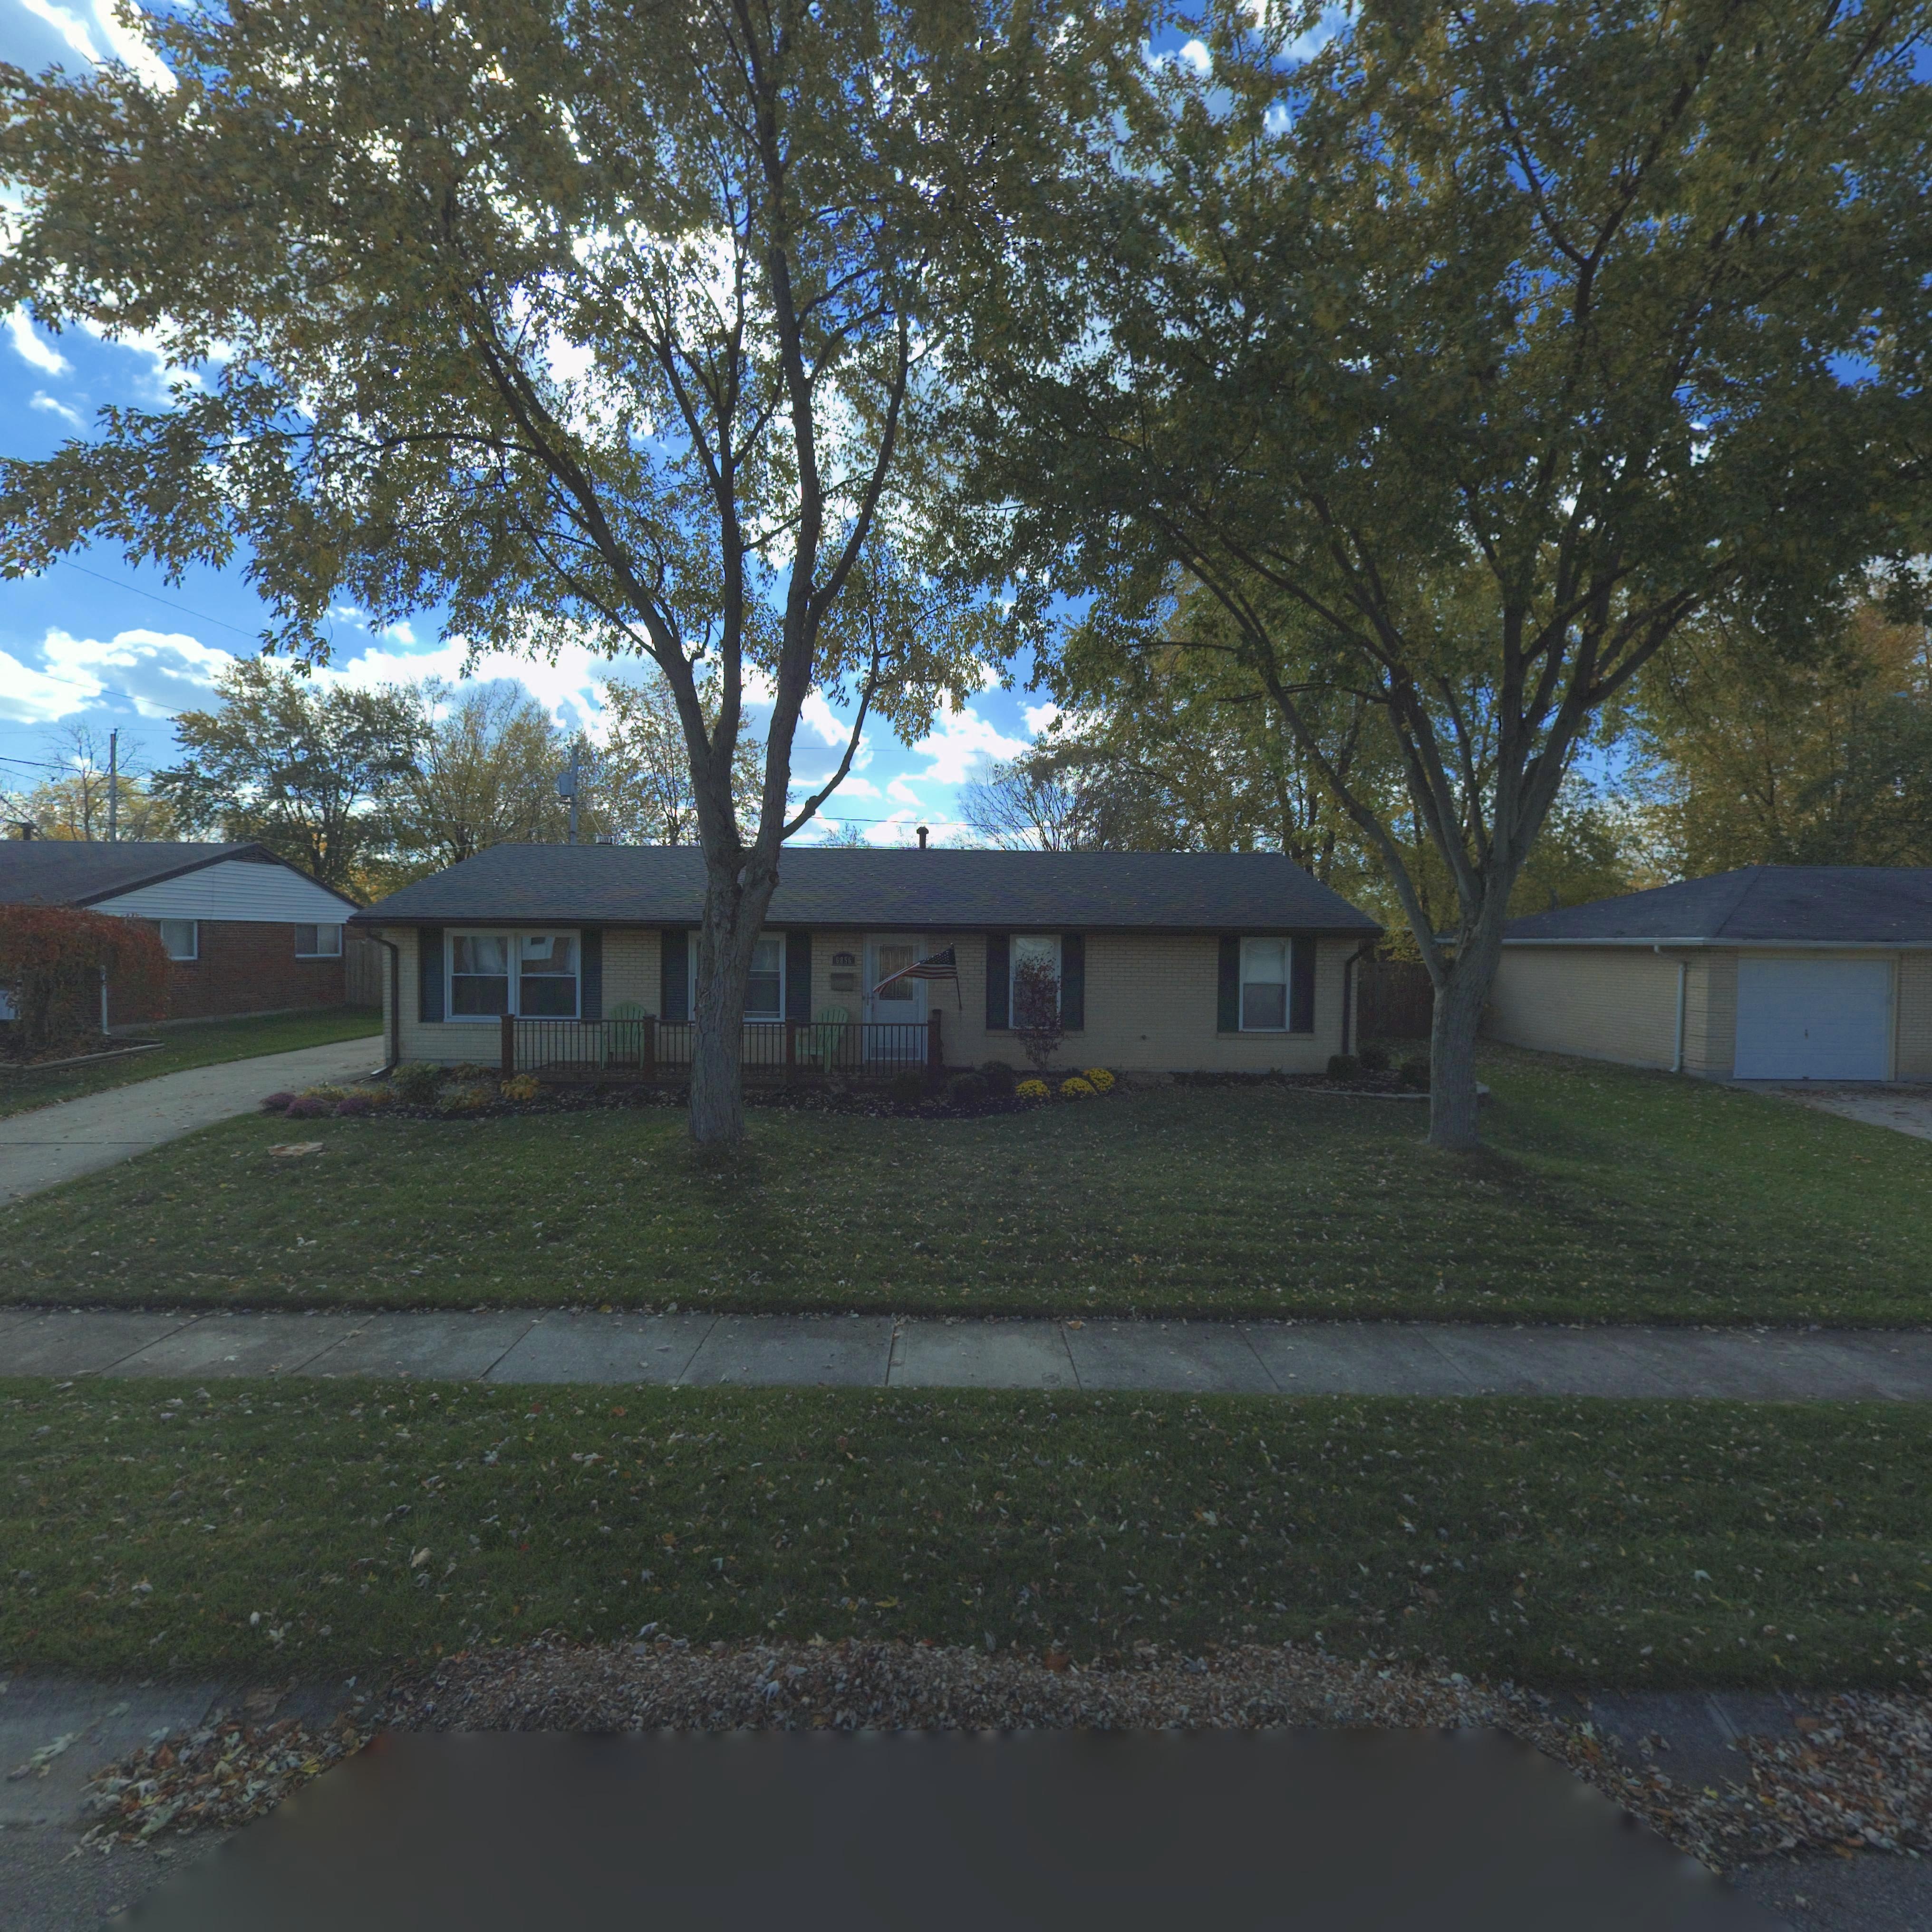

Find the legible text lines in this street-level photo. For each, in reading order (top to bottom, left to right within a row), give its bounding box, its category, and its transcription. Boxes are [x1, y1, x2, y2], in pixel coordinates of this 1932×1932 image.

[835, 956, 852, 965] StreetNumber: 6856